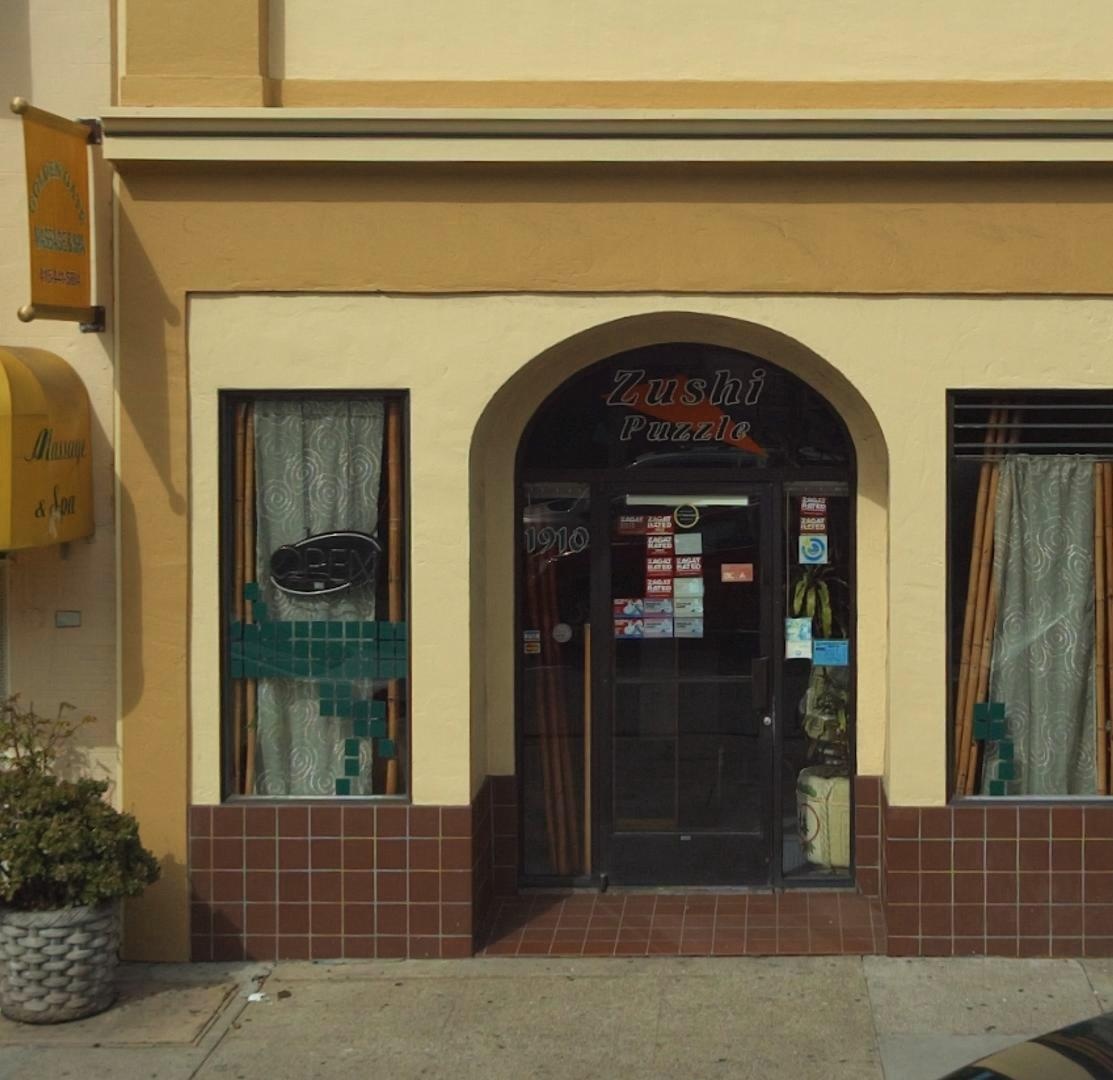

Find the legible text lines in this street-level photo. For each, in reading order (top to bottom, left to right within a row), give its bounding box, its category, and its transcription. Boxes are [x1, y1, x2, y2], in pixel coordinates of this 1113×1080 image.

[28, 159, 87, 224] BusinessName: GOLDEN GATE
[34, 225, 88, 258] BusinessName: MASSAGE & SPA
[38, 268, 82, 287] None: 415-444-5**4
[604, 368, 767, 406] BusinessName: Zushi
[30, 425, 88, 466] BusinessName: Massage
[617, 414, 754, 441] BusinessName: Puzzle
[34, 483, 78, 527] BusinessName: & Spa
[524, 526, 590, 555] StreetNumber: 1910
[261, 546, 378, 585] None: OPEN